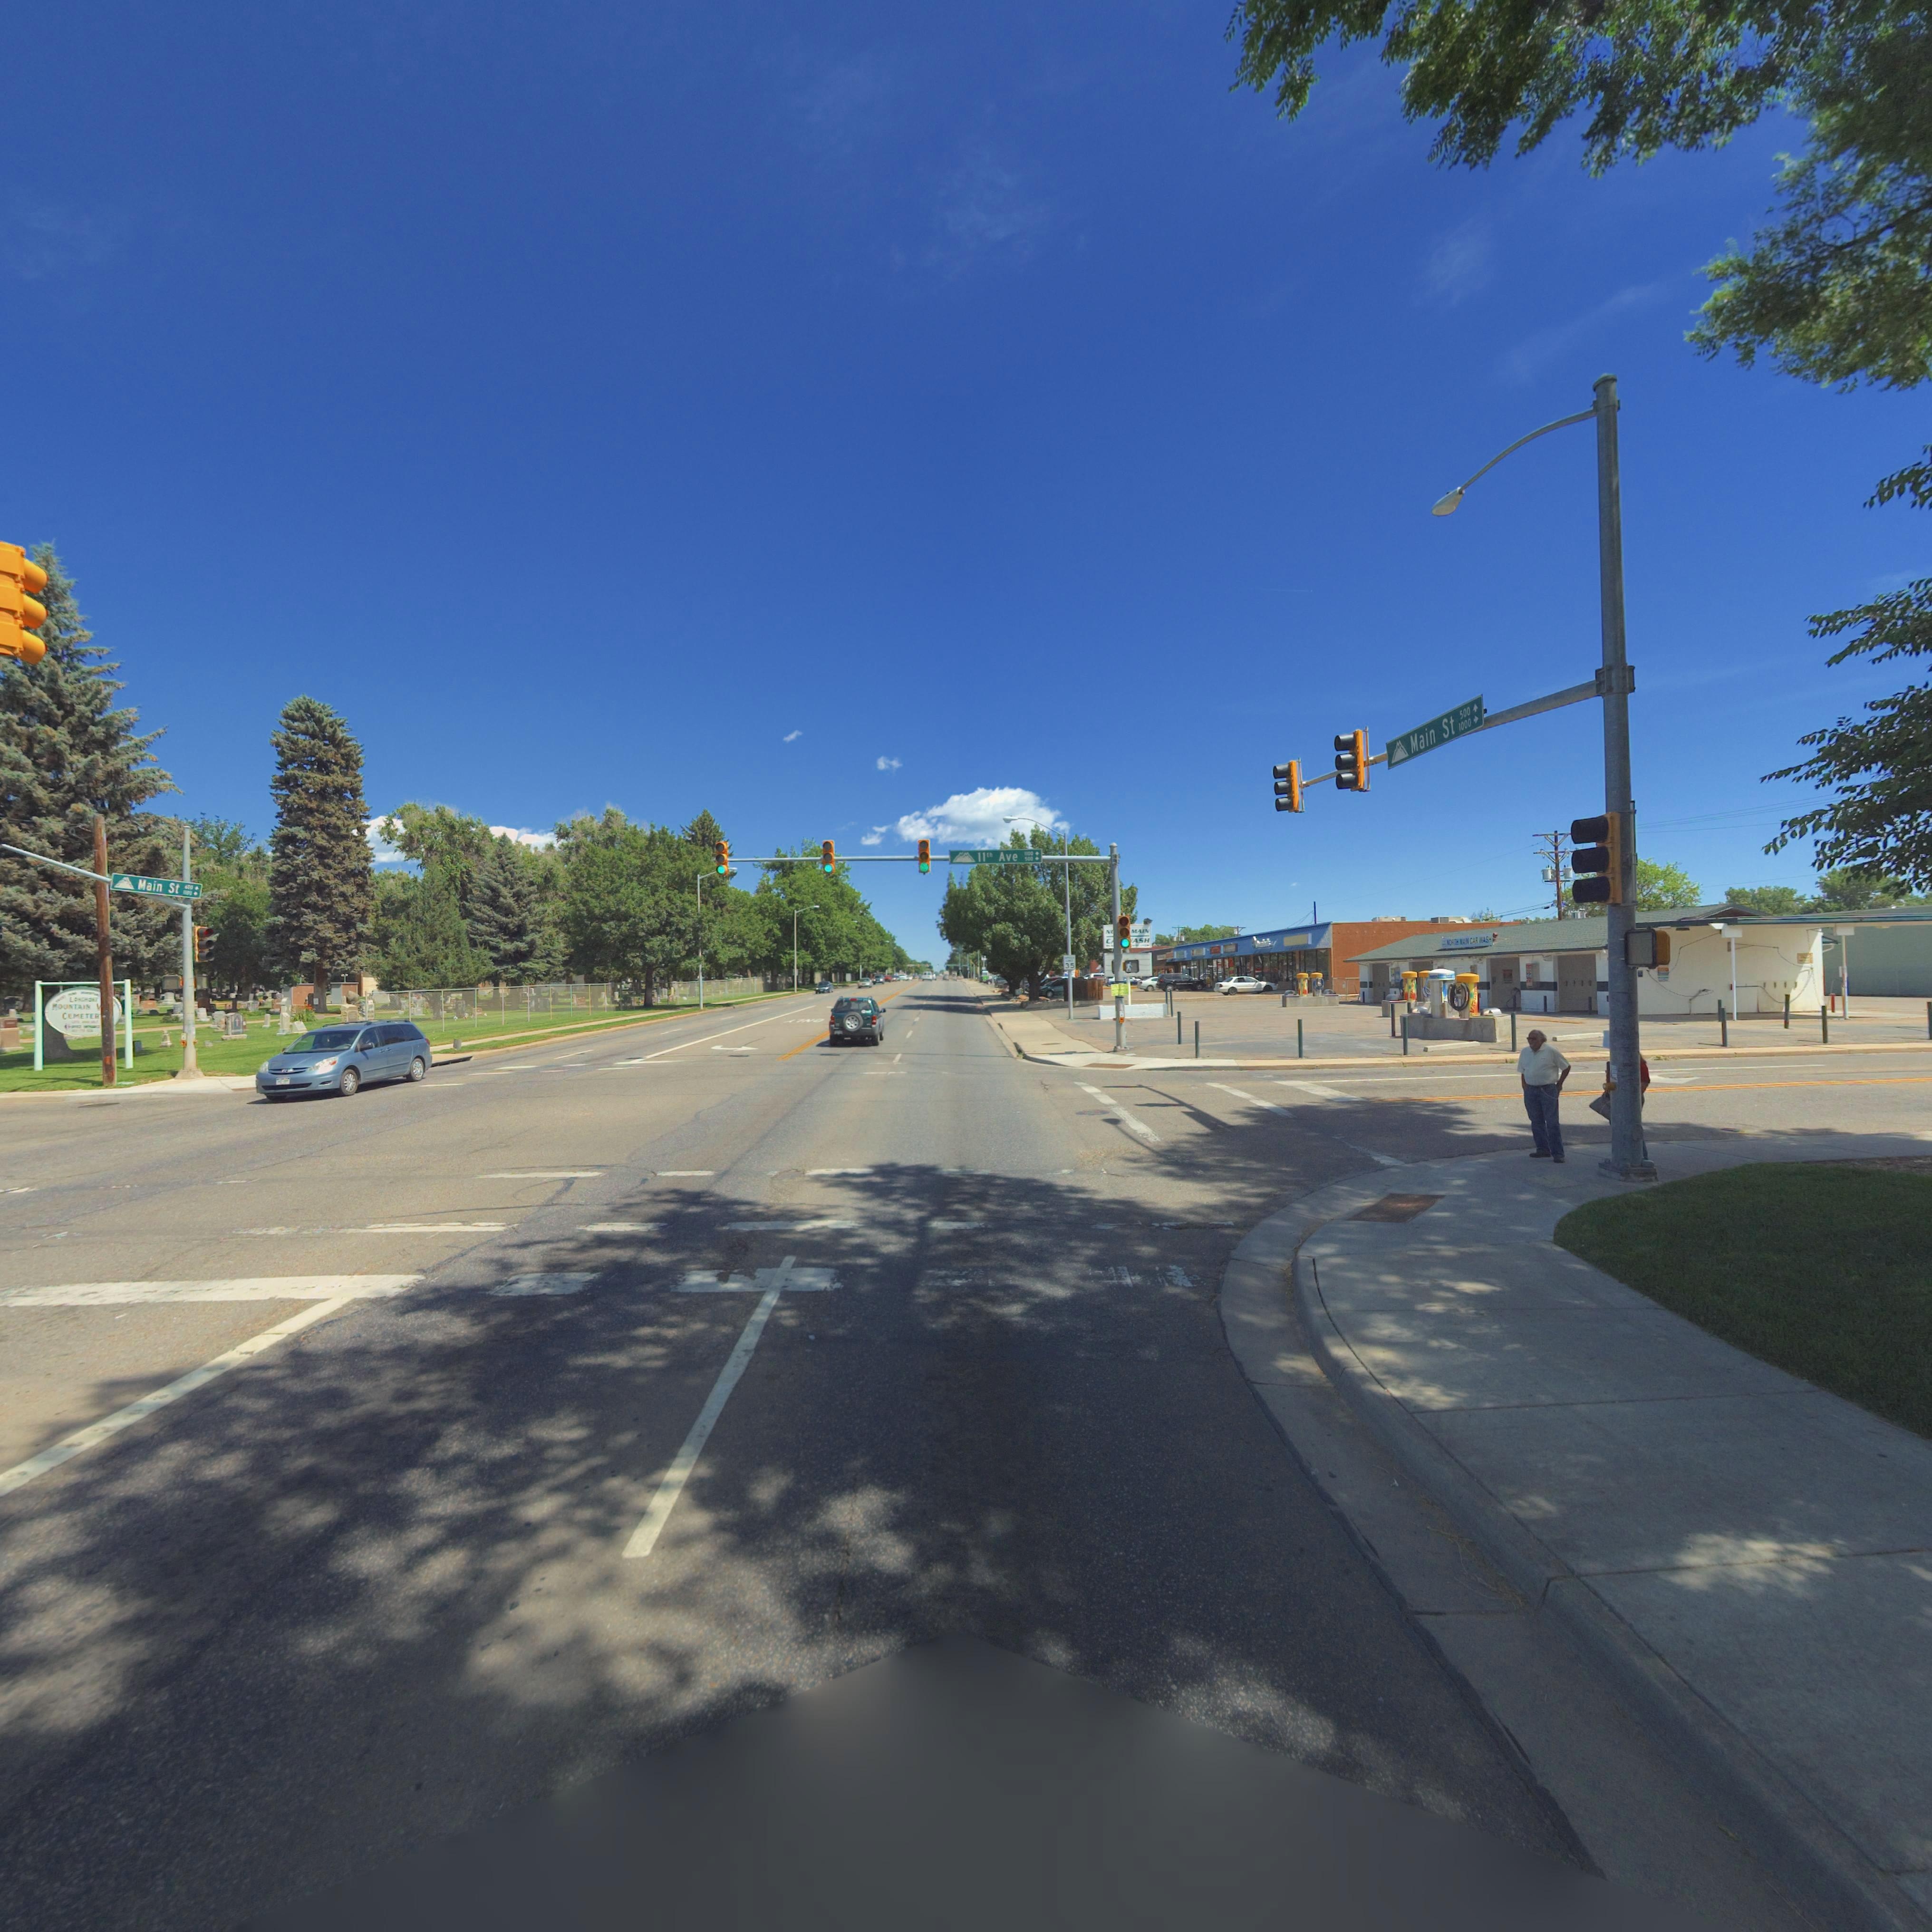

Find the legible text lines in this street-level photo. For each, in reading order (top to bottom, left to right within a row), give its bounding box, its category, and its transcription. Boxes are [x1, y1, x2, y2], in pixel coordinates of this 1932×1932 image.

[1459, 706, 1471, 720] StreetNumberRange: 500
[1458, 715, 1479, 732] StreetNumberRange: 1000->
[1410, 714, 1455, 754] StreetName: Main St
[977, 851, 1018, 862] StreetName: 11th Ave
[1024, 851, 1034, 856] StreetNumber: 1100
[1024, 856, 1039, 861] StreetNumberRange: 500->
[184, 884, 193, 890] StreetNumberRange: 600
[183, 889, 197, 896] StreetNumberRange: 1*0->
[1105, 928, 1150, 934] BusinessName: N**** MAIN
[1106, 937, 1150, 944] BusinessName: C** *ASH
[1446, 935, 1492, 946] BusinessName: NORTH MAIN CAR WASH
[69, 996, 99, 1002] BusinessName: Lon***o*T
[51, 1003, 92, 1011] BusinessName: MOUNTAIN
[62, 1011, 99, 1020] BusinessName: CEMETER